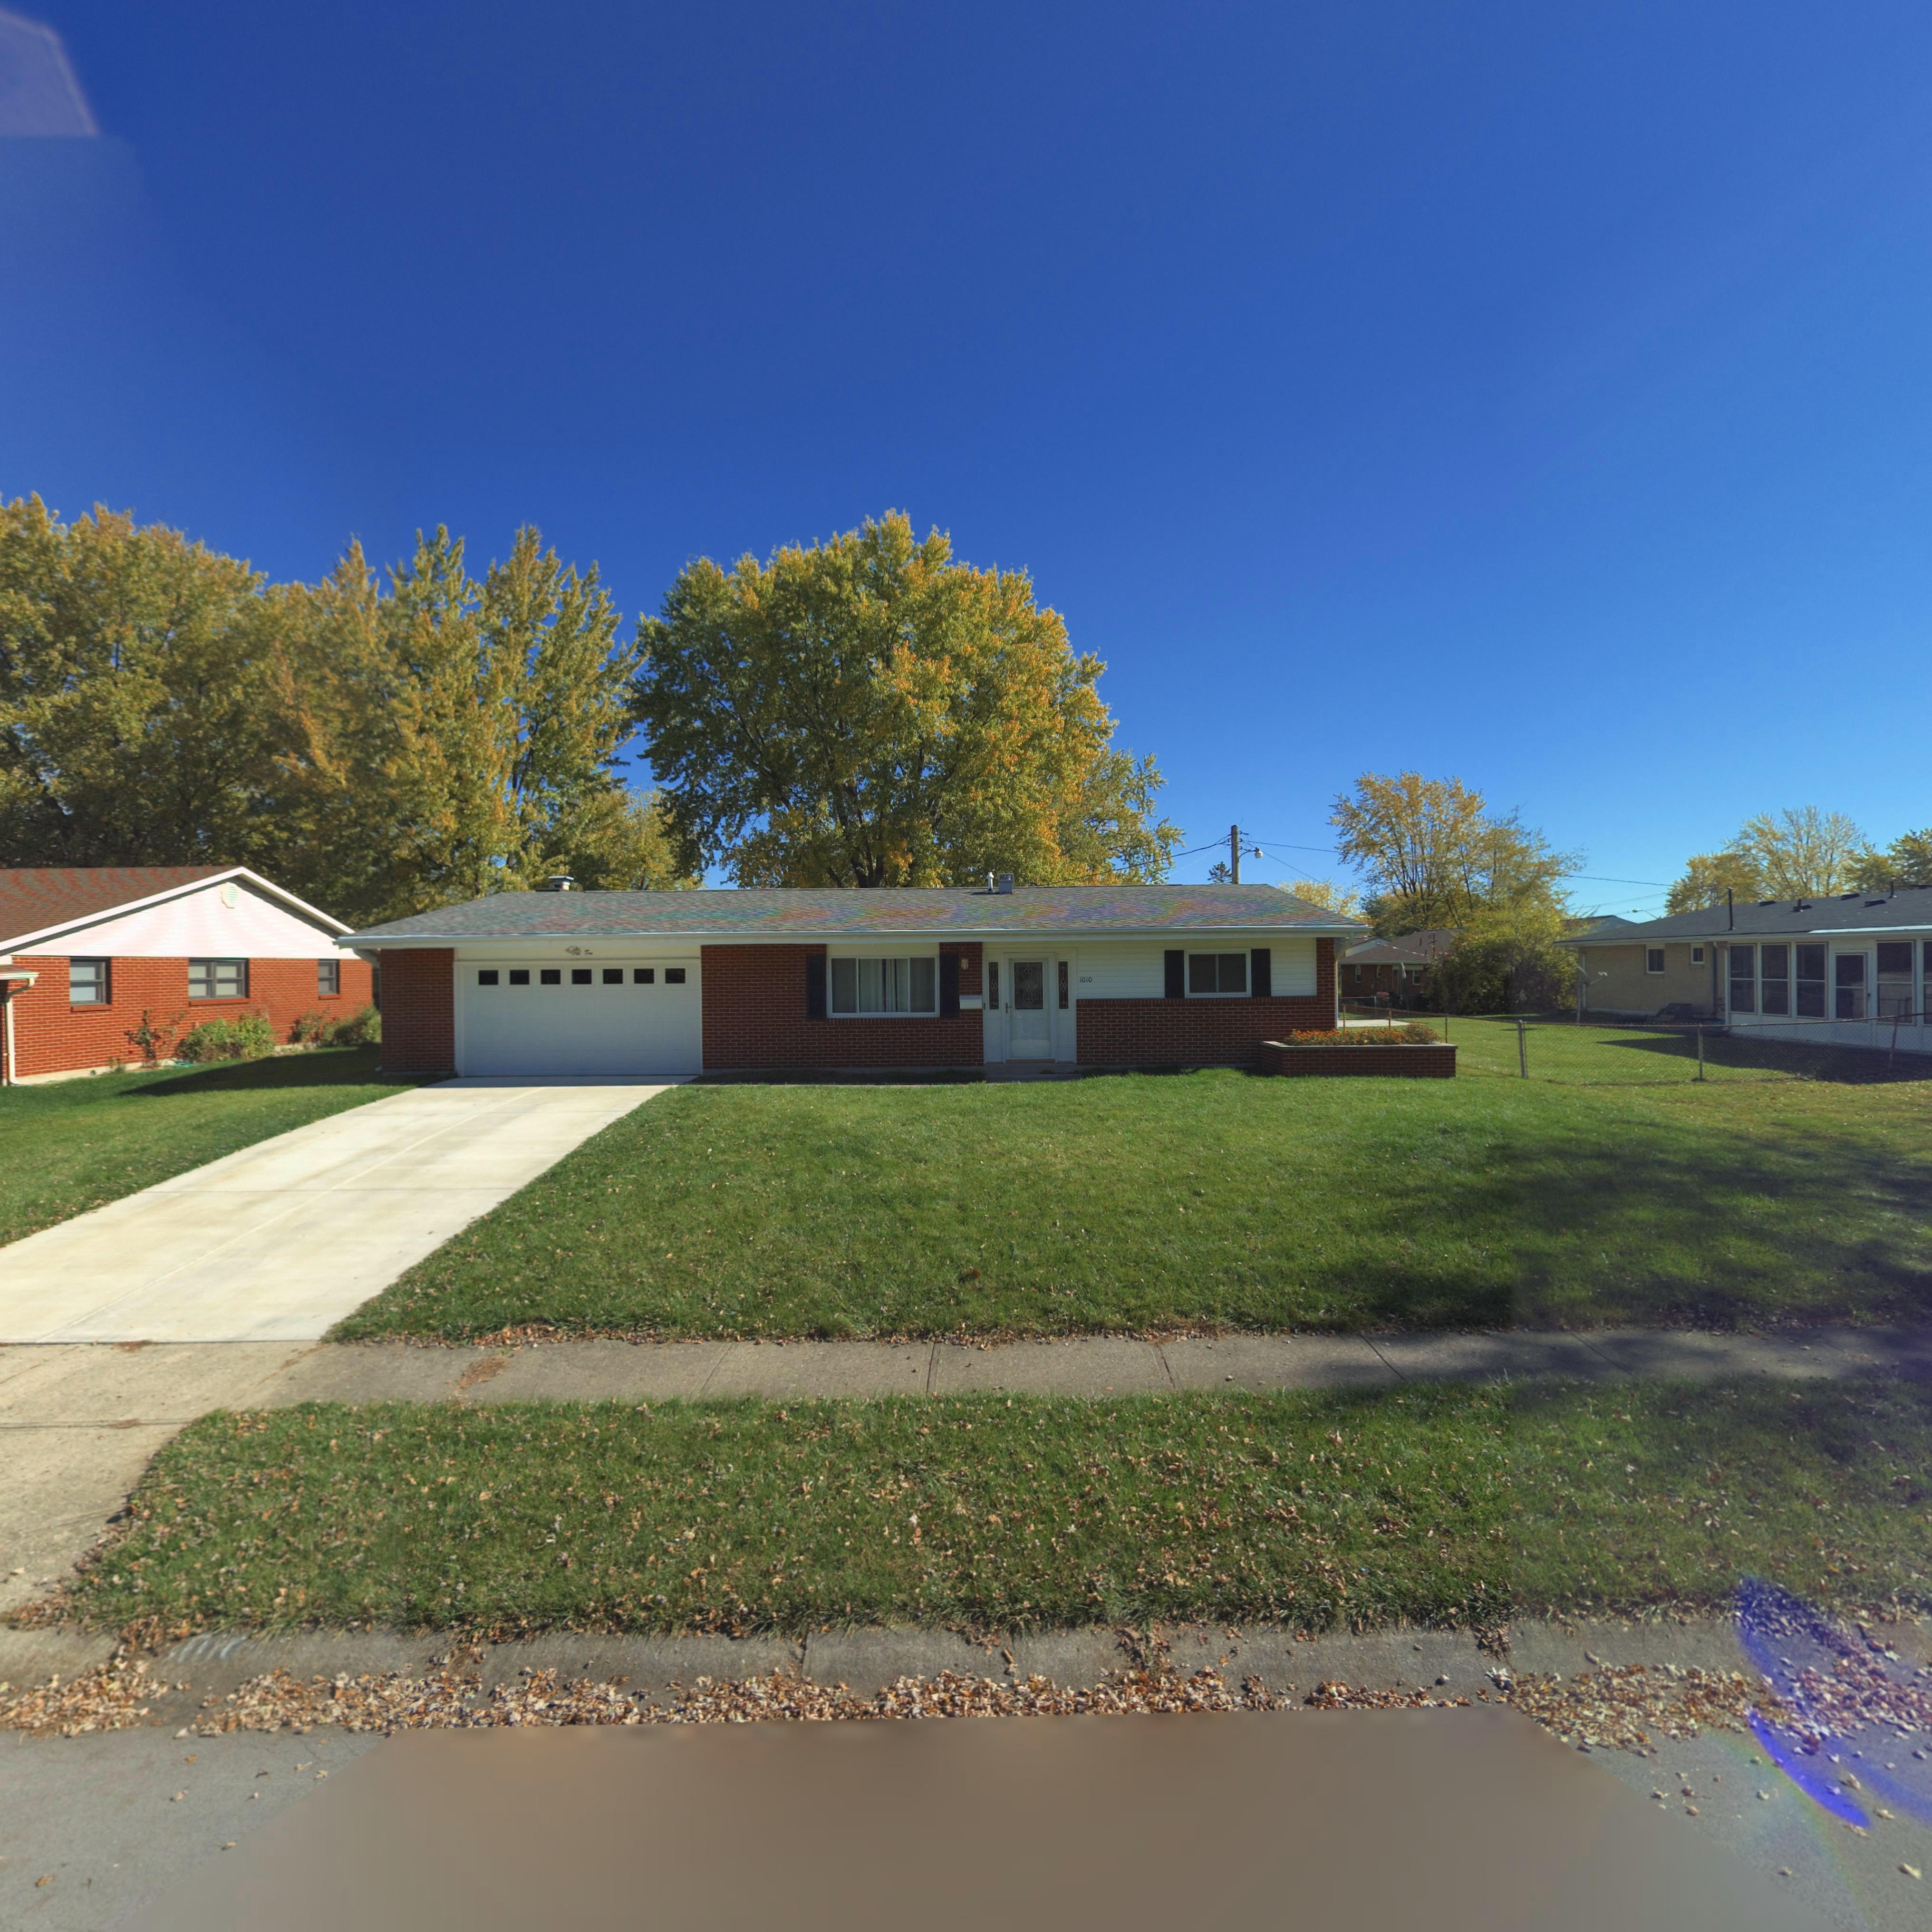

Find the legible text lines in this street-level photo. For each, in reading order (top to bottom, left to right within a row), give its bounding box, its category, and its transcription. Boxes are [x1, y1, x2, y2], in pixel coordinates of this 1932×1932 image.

[584, 949, 593, 955] StreetNumber: Ten
[1079, 976, 1092, 983] StreetNumber: 1010
[172, 1634, 229, 1669] StreetNumber: 10